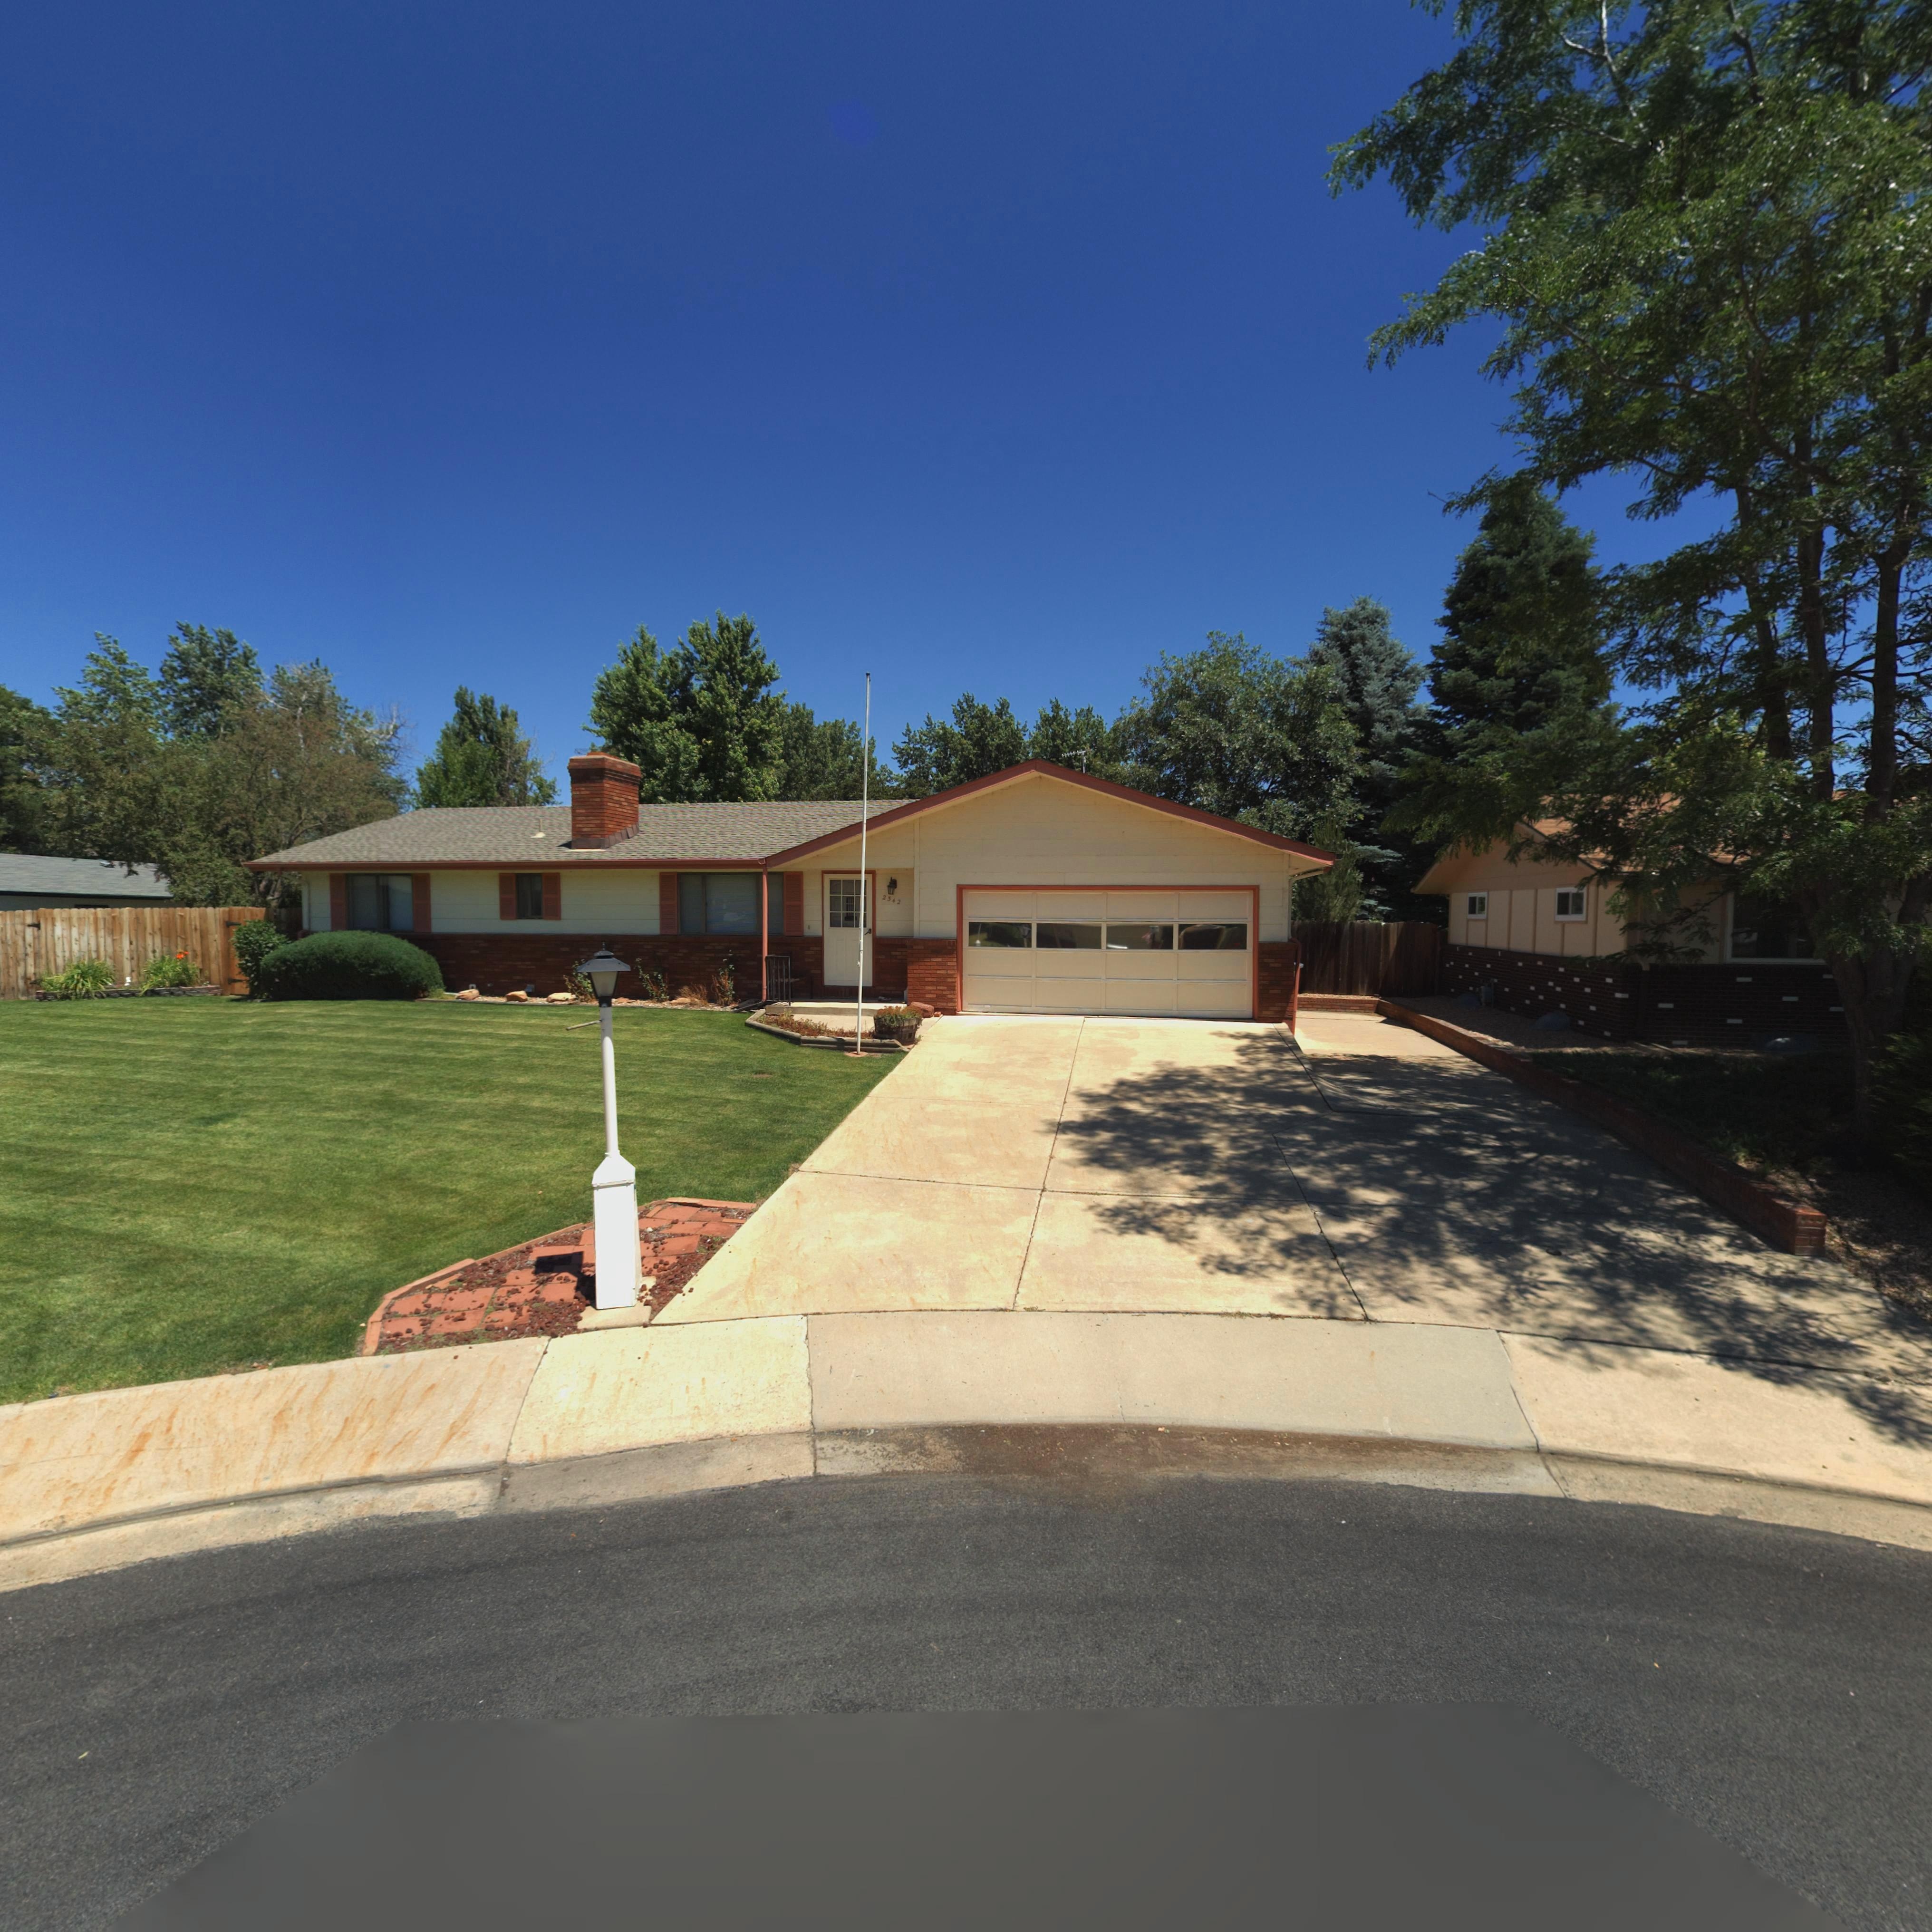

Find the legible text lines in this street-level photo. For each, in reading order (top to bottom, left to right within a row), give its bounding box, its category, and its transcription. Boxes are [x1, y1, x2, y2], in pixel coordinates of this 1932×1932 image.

[881, 894, 901, 905] StreetNumber: 2342